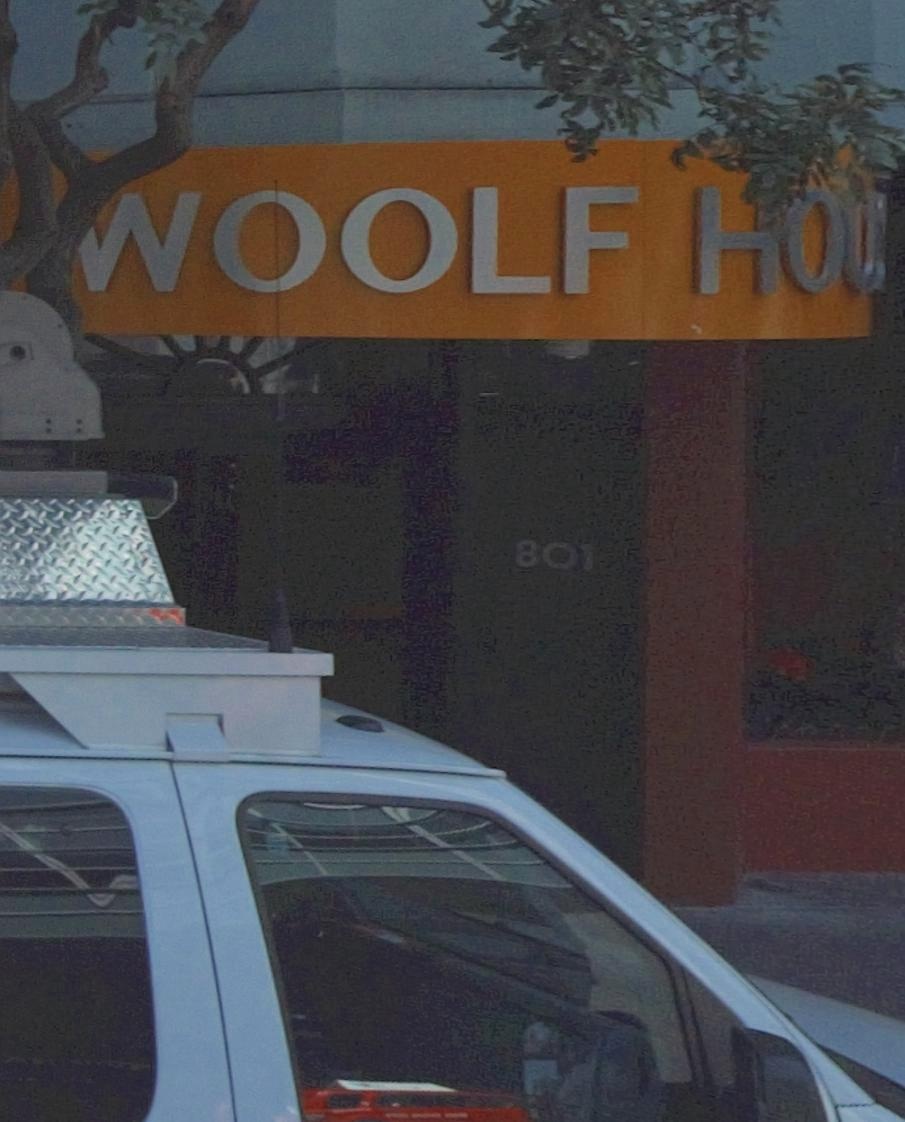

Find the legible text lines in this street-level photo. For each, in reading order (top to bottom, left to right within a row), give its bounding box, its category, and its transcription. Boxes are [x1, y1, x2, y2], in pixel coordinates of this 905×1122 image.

[209, 180, 645, 299] BusinessName: OOLF
[513, 537, 597, 581] StreetNumber: 801